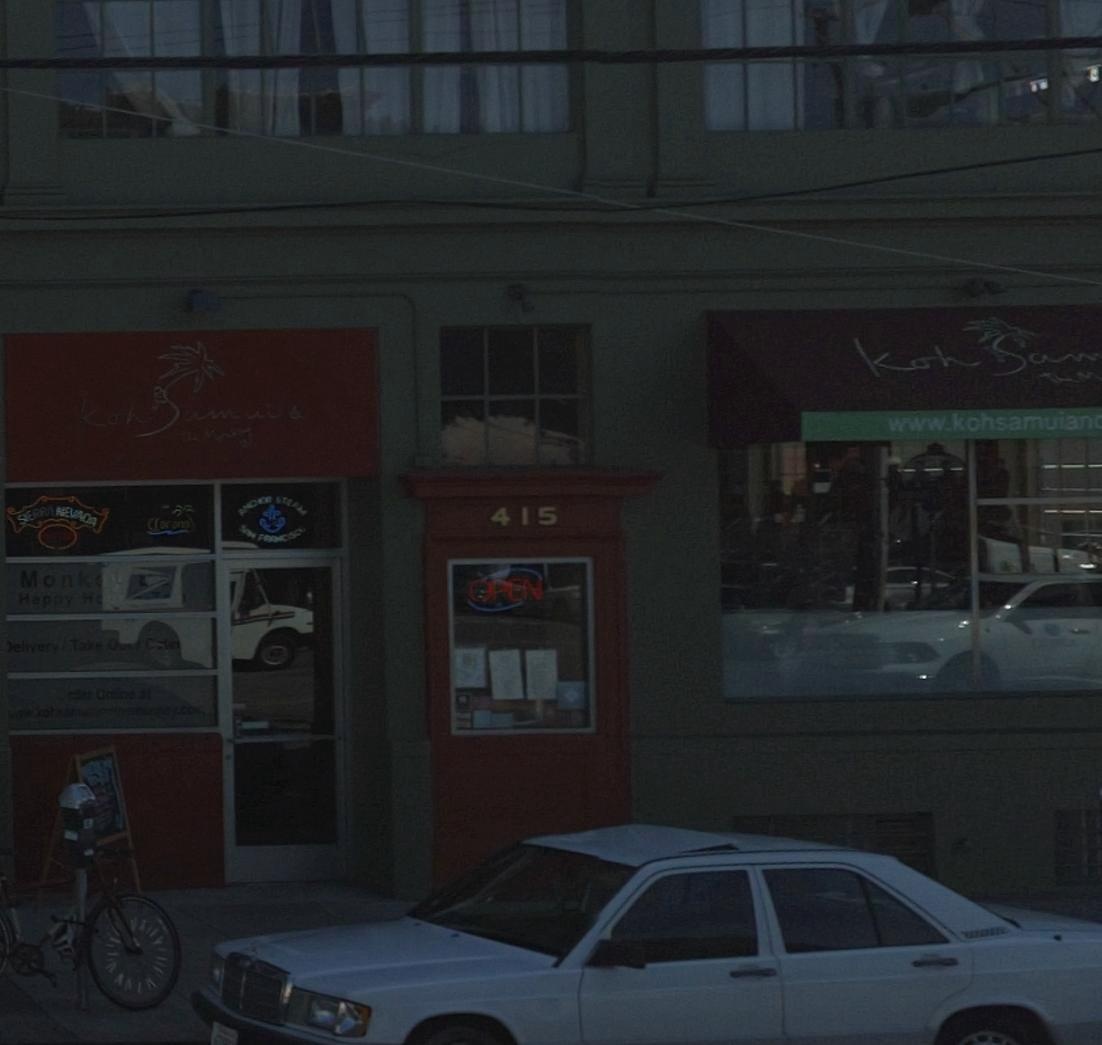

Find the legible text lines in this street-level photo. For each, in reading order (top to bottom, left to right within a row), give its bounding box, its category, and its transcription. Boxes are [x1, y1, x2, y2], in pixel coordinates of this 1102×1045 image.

[841, 327, 1068, 381] BusinessName: koh Sa
[74, 366, 251, 443] BusinessName: Koh Sam
[880, 405, 1099, 437] None: www.kohsamuian
[12, 501, 102, 529] None: S*ERRA NEVADA
[483, 503, 561, 532] StreetNumber: 415
[18, 567, 94, 591] None: Monk
[17, 590, 98, 610] None: Happy H
[466, 570, 547, 609] None: OPEN
[11, 636, 122, 658] None: elivery Take O
[142, 635, 157, 652] None: C
[92, 685, 109, 702] None: O
[137, 684, 154, 702] None: at